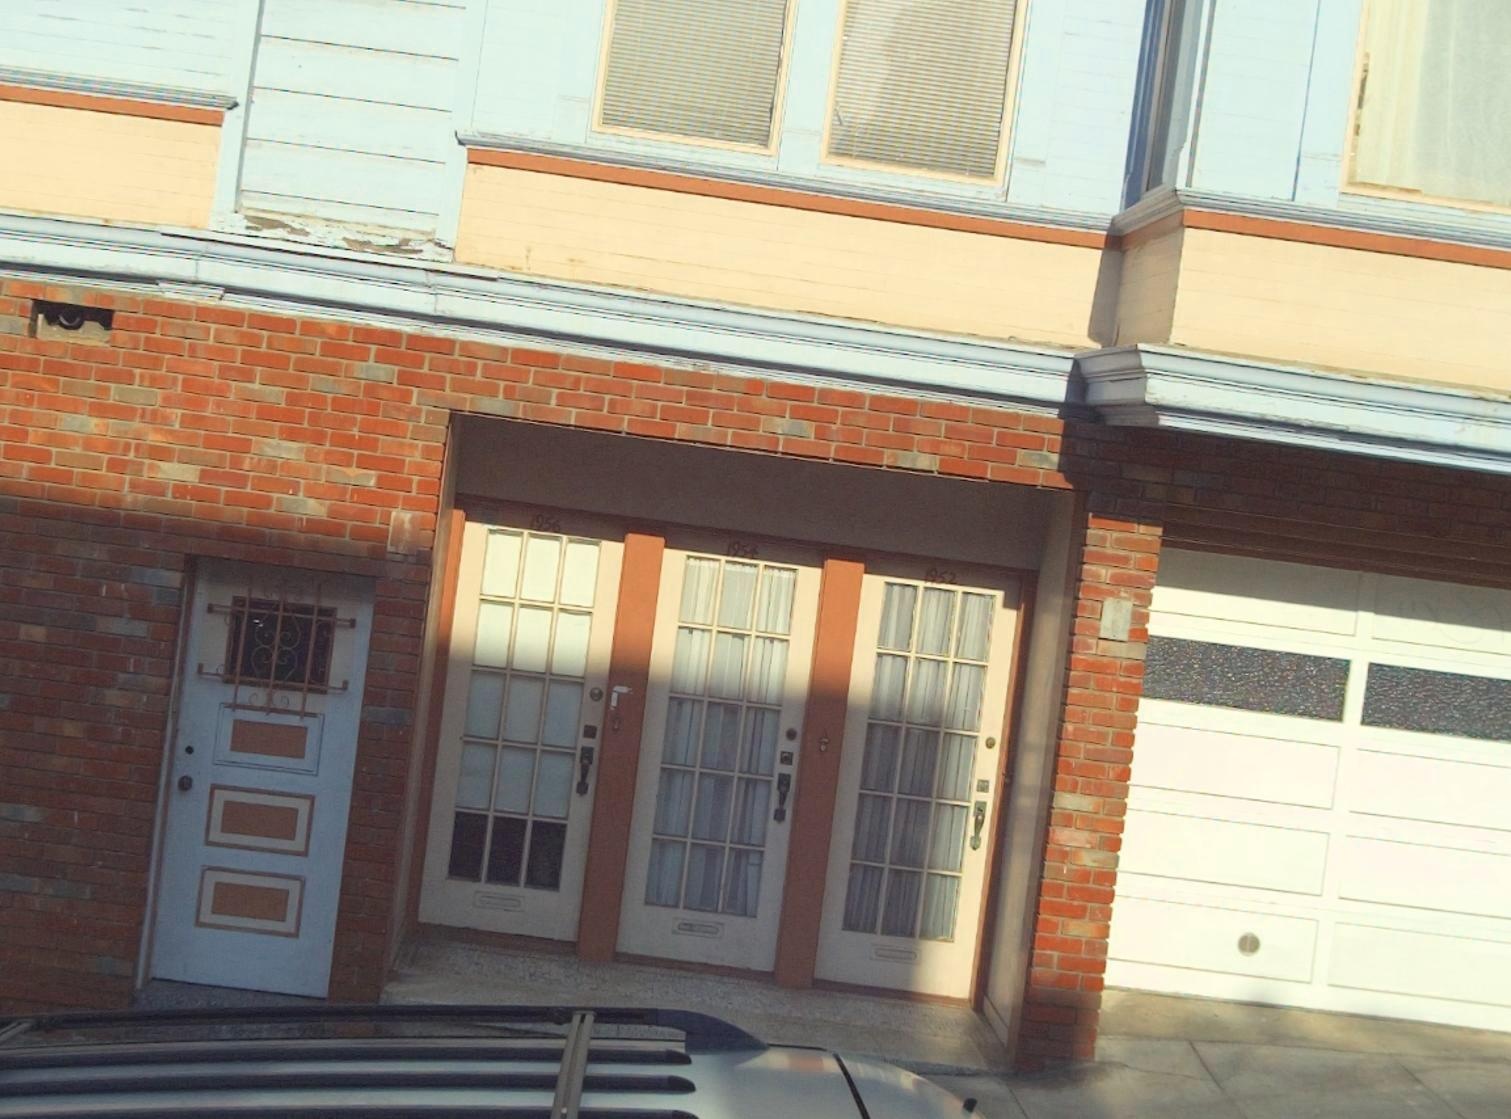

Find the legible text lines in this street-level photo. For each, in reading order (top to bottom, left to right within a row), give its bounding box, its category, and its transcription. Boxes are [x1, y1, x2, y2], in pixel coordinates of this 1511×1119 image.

[528, 513, 565, 535] StreetNumber: 1956
[723, 538, 762, 563] StreetNumber: 1954
[920, 564, 959, 588] StreetNumber: 1952